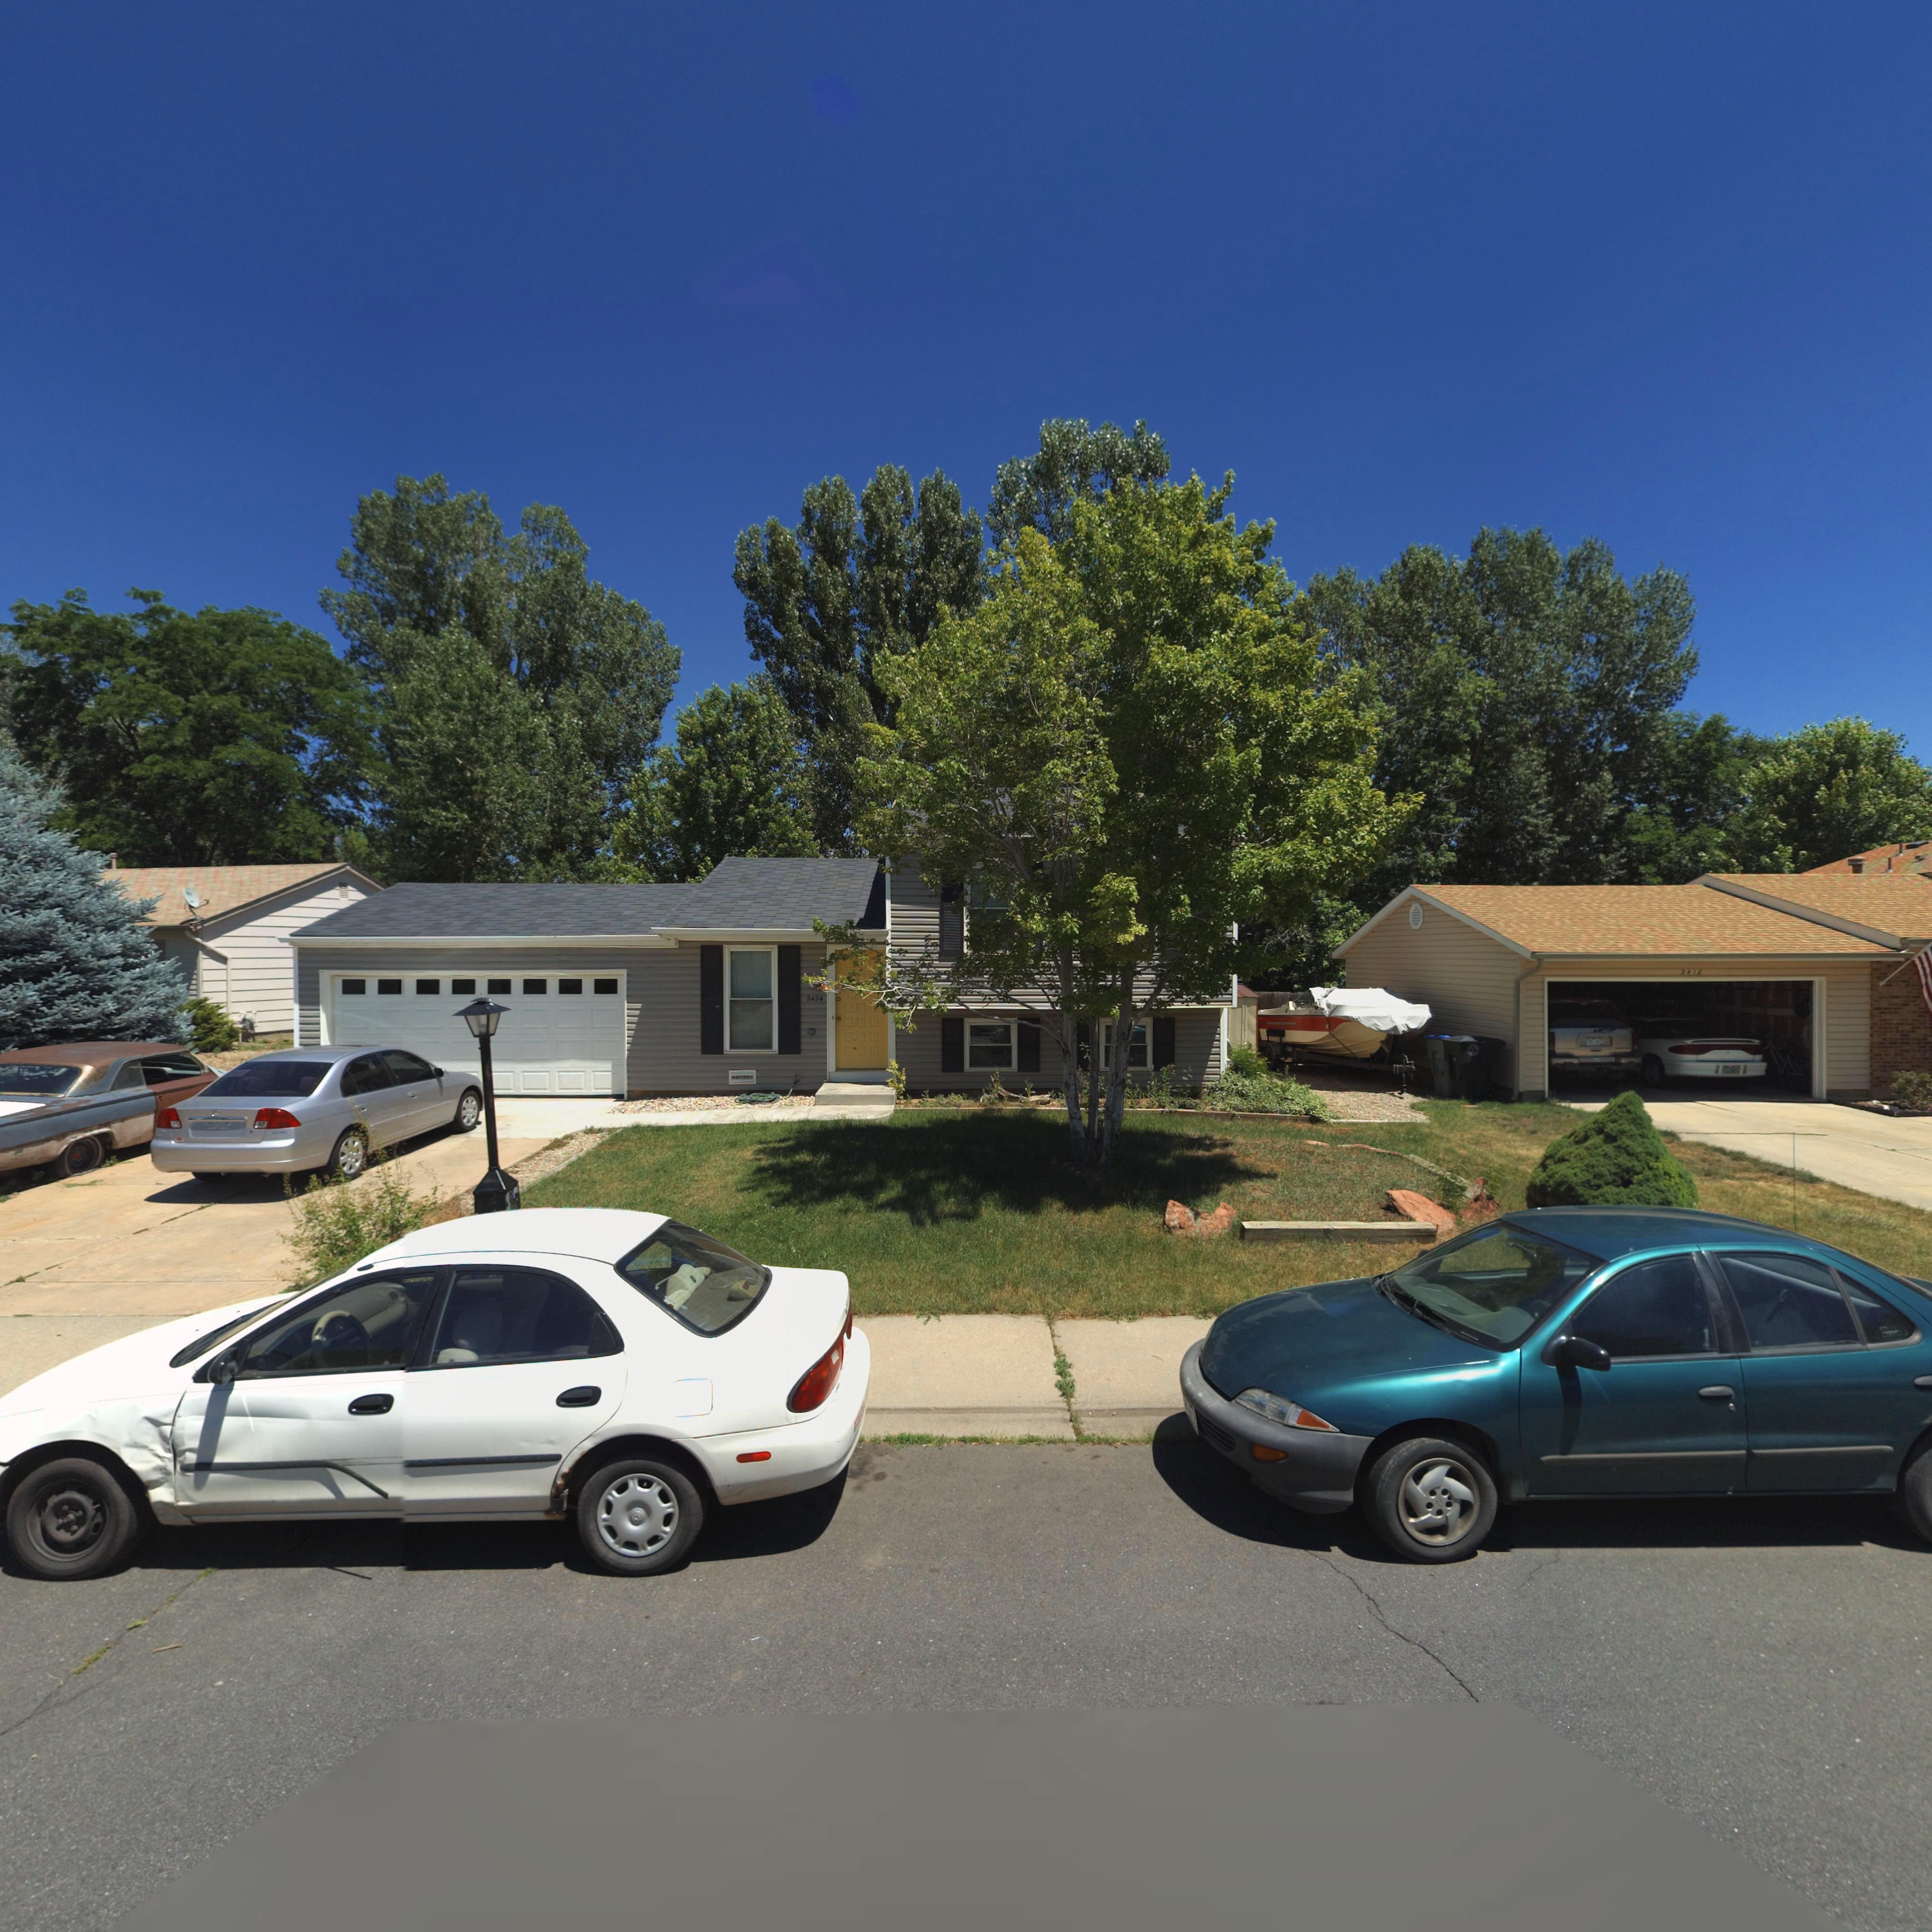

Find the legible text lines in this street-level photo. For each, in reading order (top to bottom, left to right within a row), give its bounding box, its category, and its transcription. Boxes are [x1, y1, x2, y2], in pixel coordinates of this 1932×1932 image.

[1681, 968, 1702, 976] StreetNumber: 2418
[806, 995, 823, 1002] StreetNumber: 2424